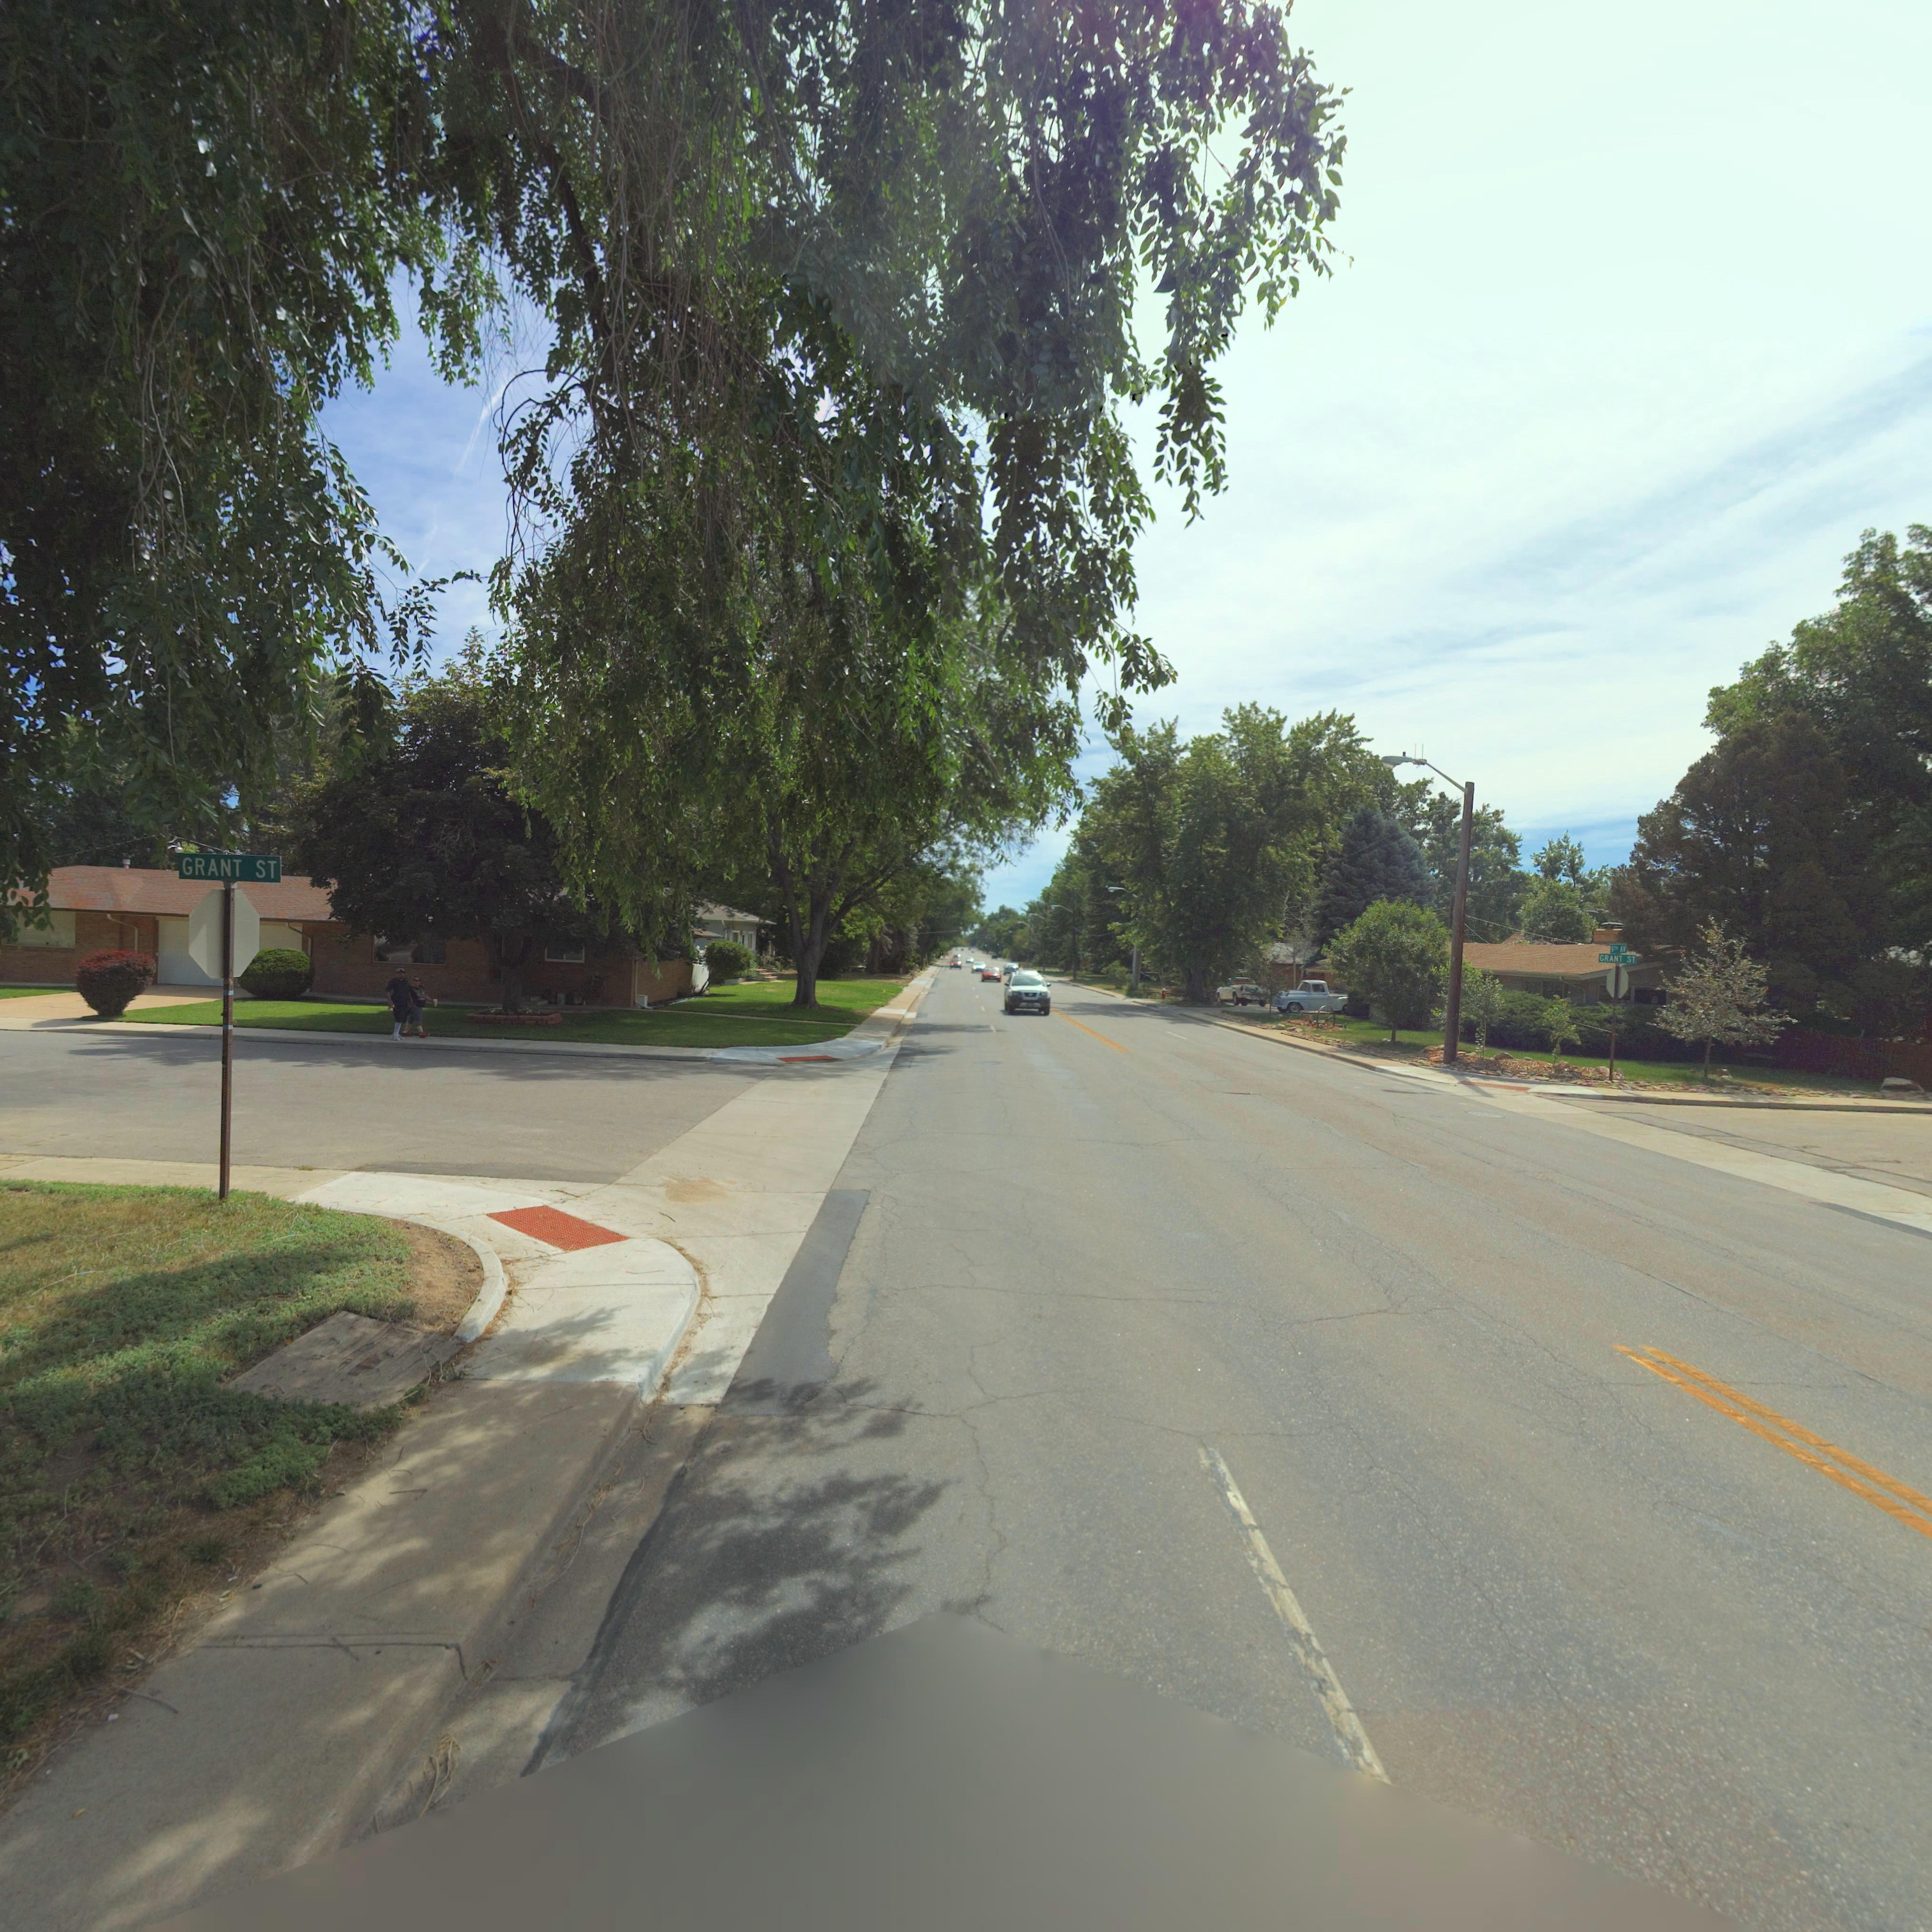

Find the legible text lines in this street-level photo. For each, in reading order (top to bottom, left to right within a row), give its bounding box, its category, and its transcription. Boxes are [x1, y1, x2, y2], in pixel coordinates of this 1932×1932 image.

[182, 856, 278, 879] StreetName: GRANT ST
[1611, 945, 1626, 952] StreetName: 9TH AV
[1599, 954, 1636, 963] StreetName: GRANT ST